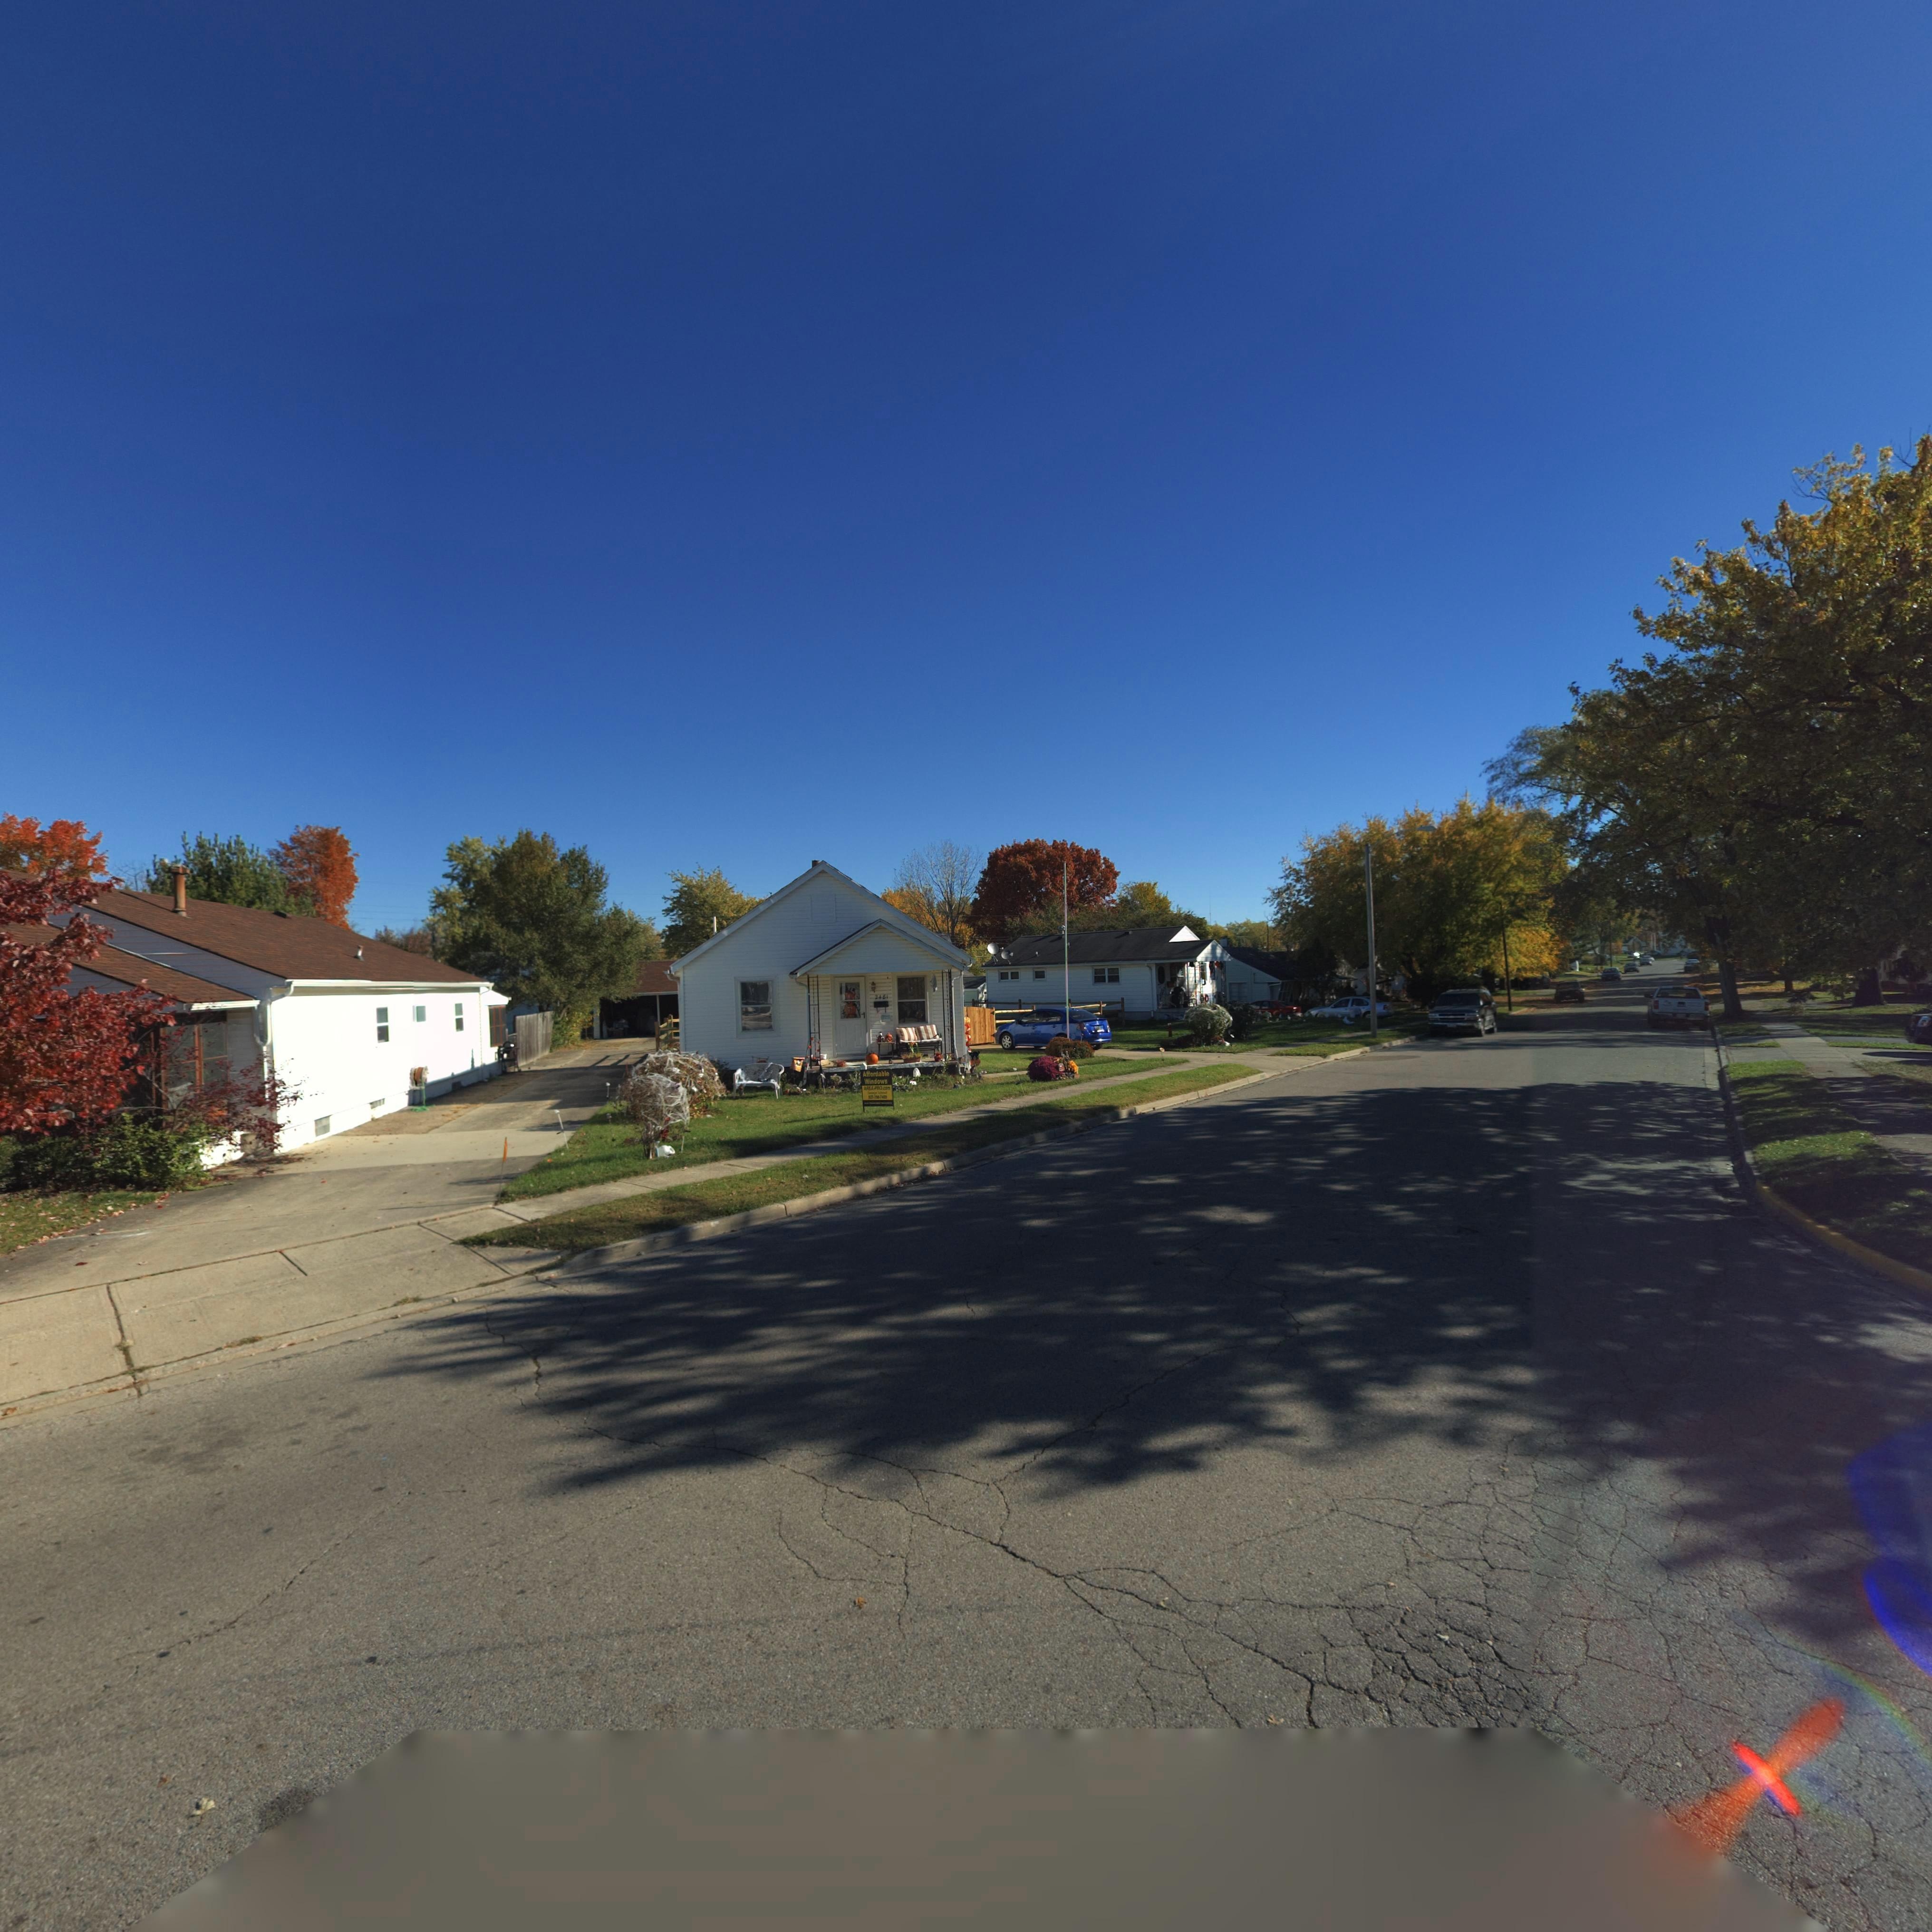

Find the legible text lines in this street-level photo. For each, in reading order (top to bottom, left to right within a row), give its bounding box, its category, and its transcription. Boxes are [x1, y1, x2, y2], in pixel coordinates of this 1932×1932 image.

[874, 994, 889, 1000] StreetNumber: 2481